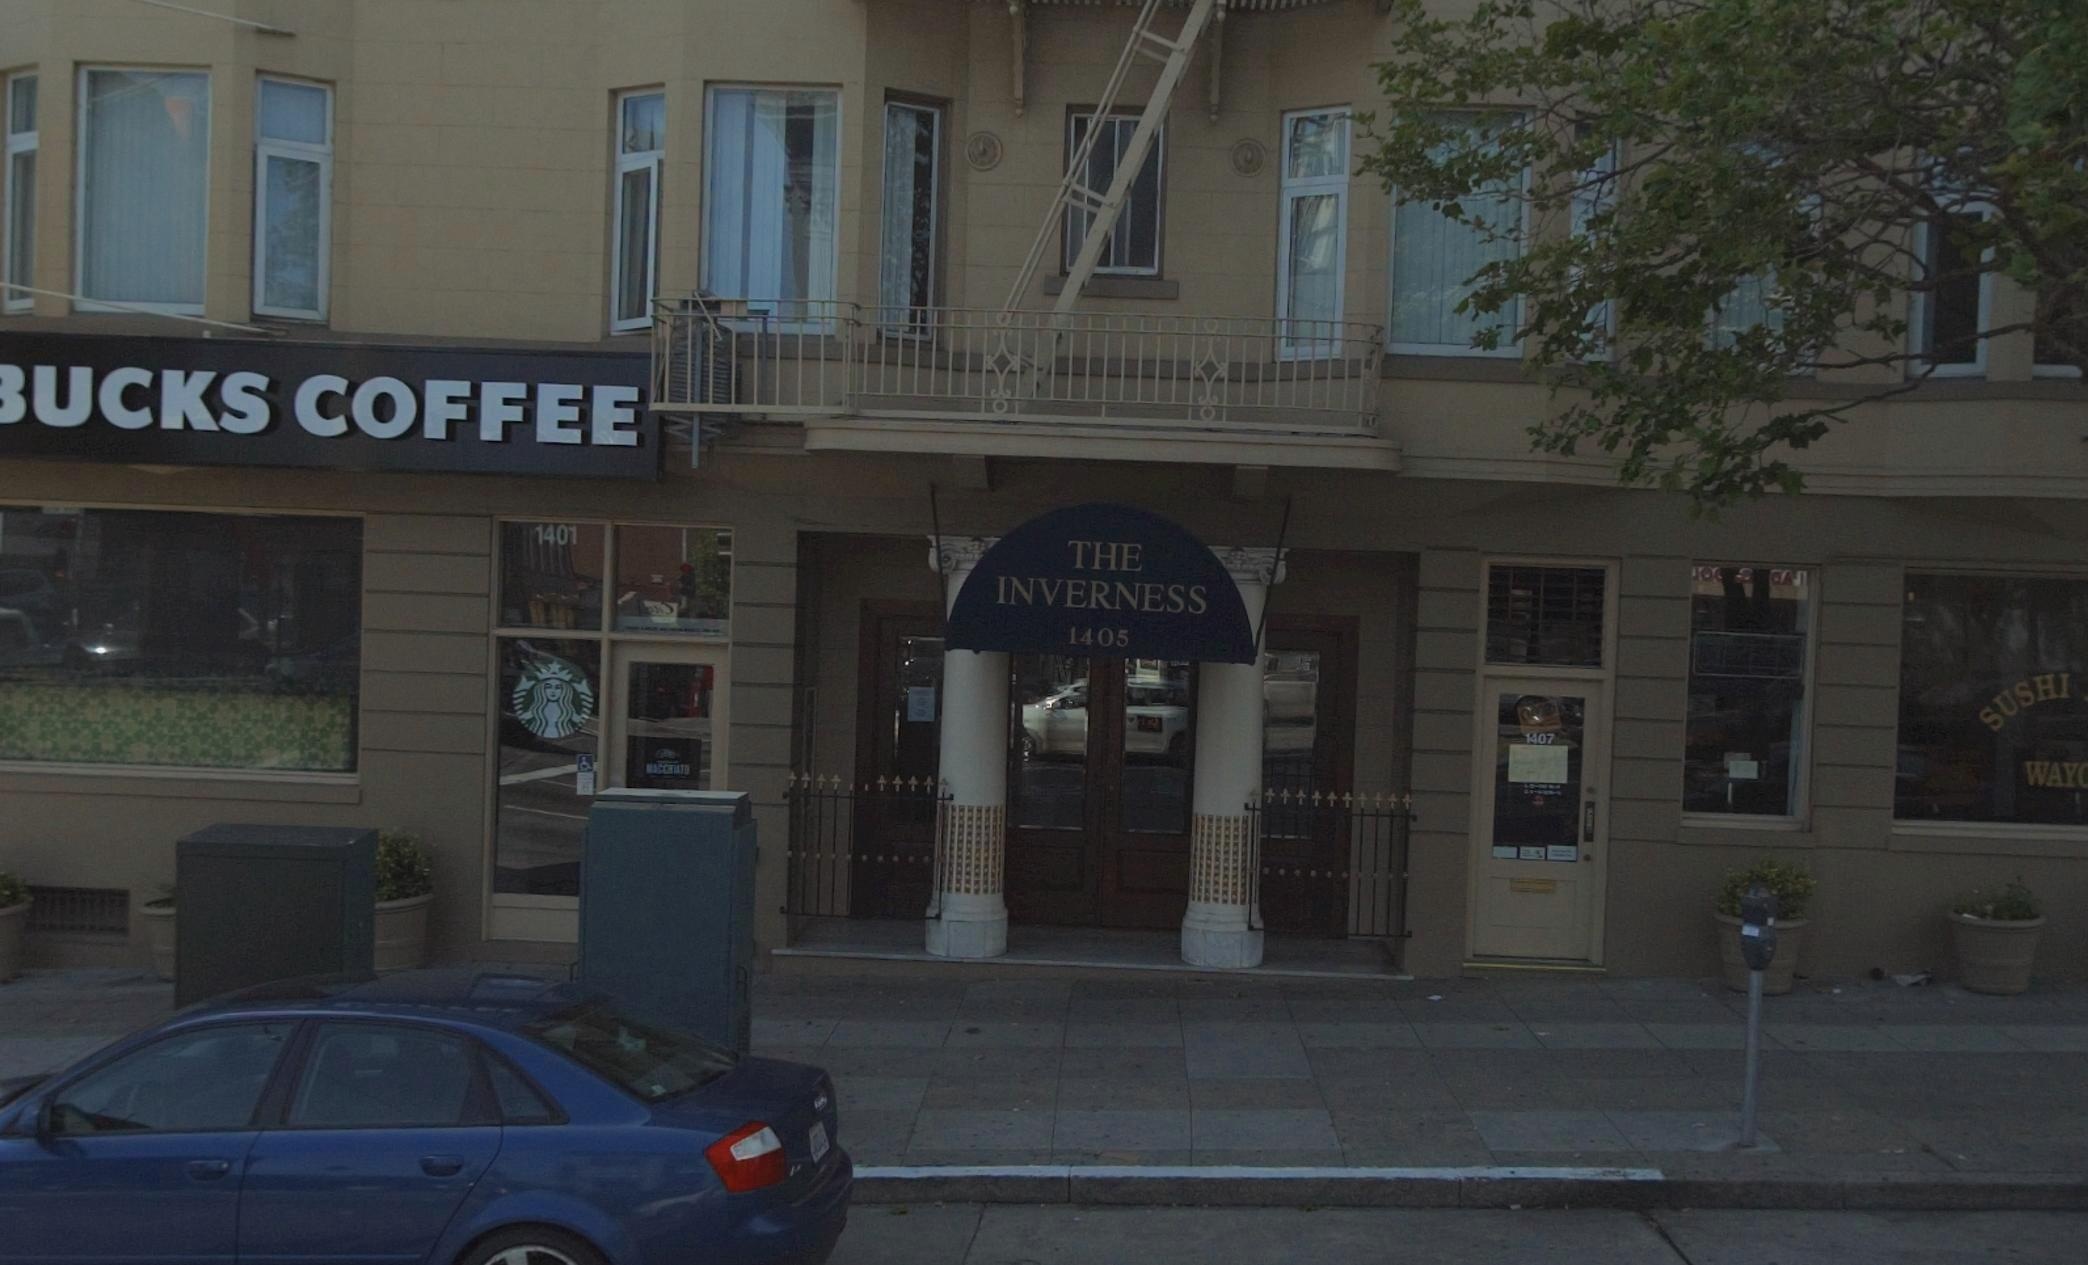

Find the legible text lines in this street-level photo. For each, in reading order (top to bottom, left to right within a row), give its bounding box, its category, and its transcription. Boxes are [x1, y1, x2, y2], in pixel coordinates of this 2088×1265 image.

[31, 363, 641, 448] BusinessName: UCKS COFFEE
[533, 522, 578, 546] StreetNumber: 1401
[1067, 539, 1144, 572] BusinessName: THE
[1700, 566, 1795, 587] None: O*****A
[995, 575, 1209, 616] BusinessName: INVERNESS
[1067, 625, 1130, 649] StreetNumber: 1405
[1696, 633, 1804, 678] None: OPEN
[1977, 671, 2072, 733] None: SUSHI
[1523, 732, 1557, 746] StreetNumber: 1407
[645, 762, 691, 776] None: *ACC***T*
[2023, 759, 2080, 789] None: WAY